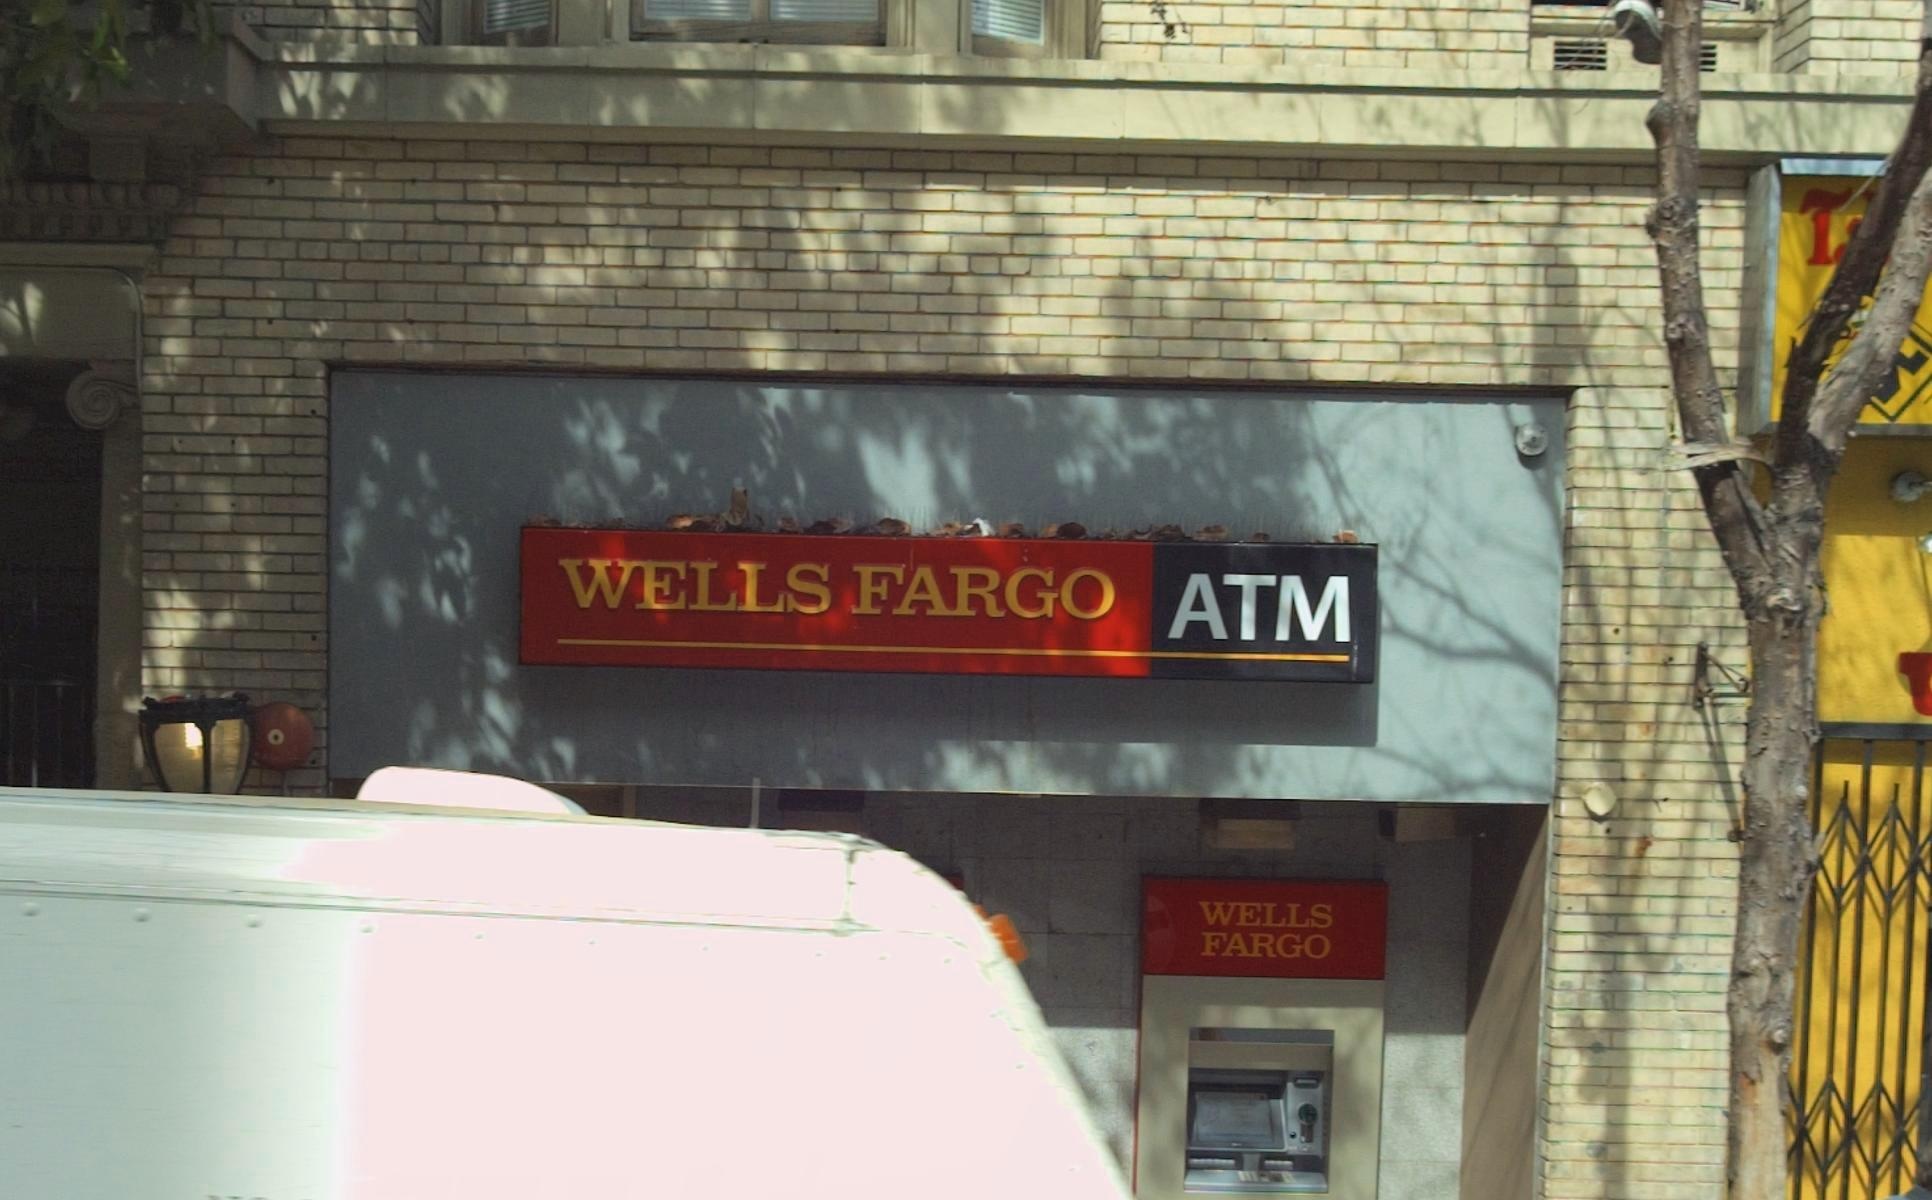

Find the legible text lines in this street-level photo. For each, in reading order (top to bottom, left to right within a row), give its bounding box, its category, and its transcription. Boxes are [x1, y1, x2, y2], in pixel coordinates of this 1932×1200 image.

[550, 556, 1119, 624] BusinessName: WELLS FARGO
[1161, 569, 1354, 646] None: ATM
[1192, 926, 1333, 964] BusinessName: FARGO
[1192, 896, 1337, 934] BusinessName: WELLS